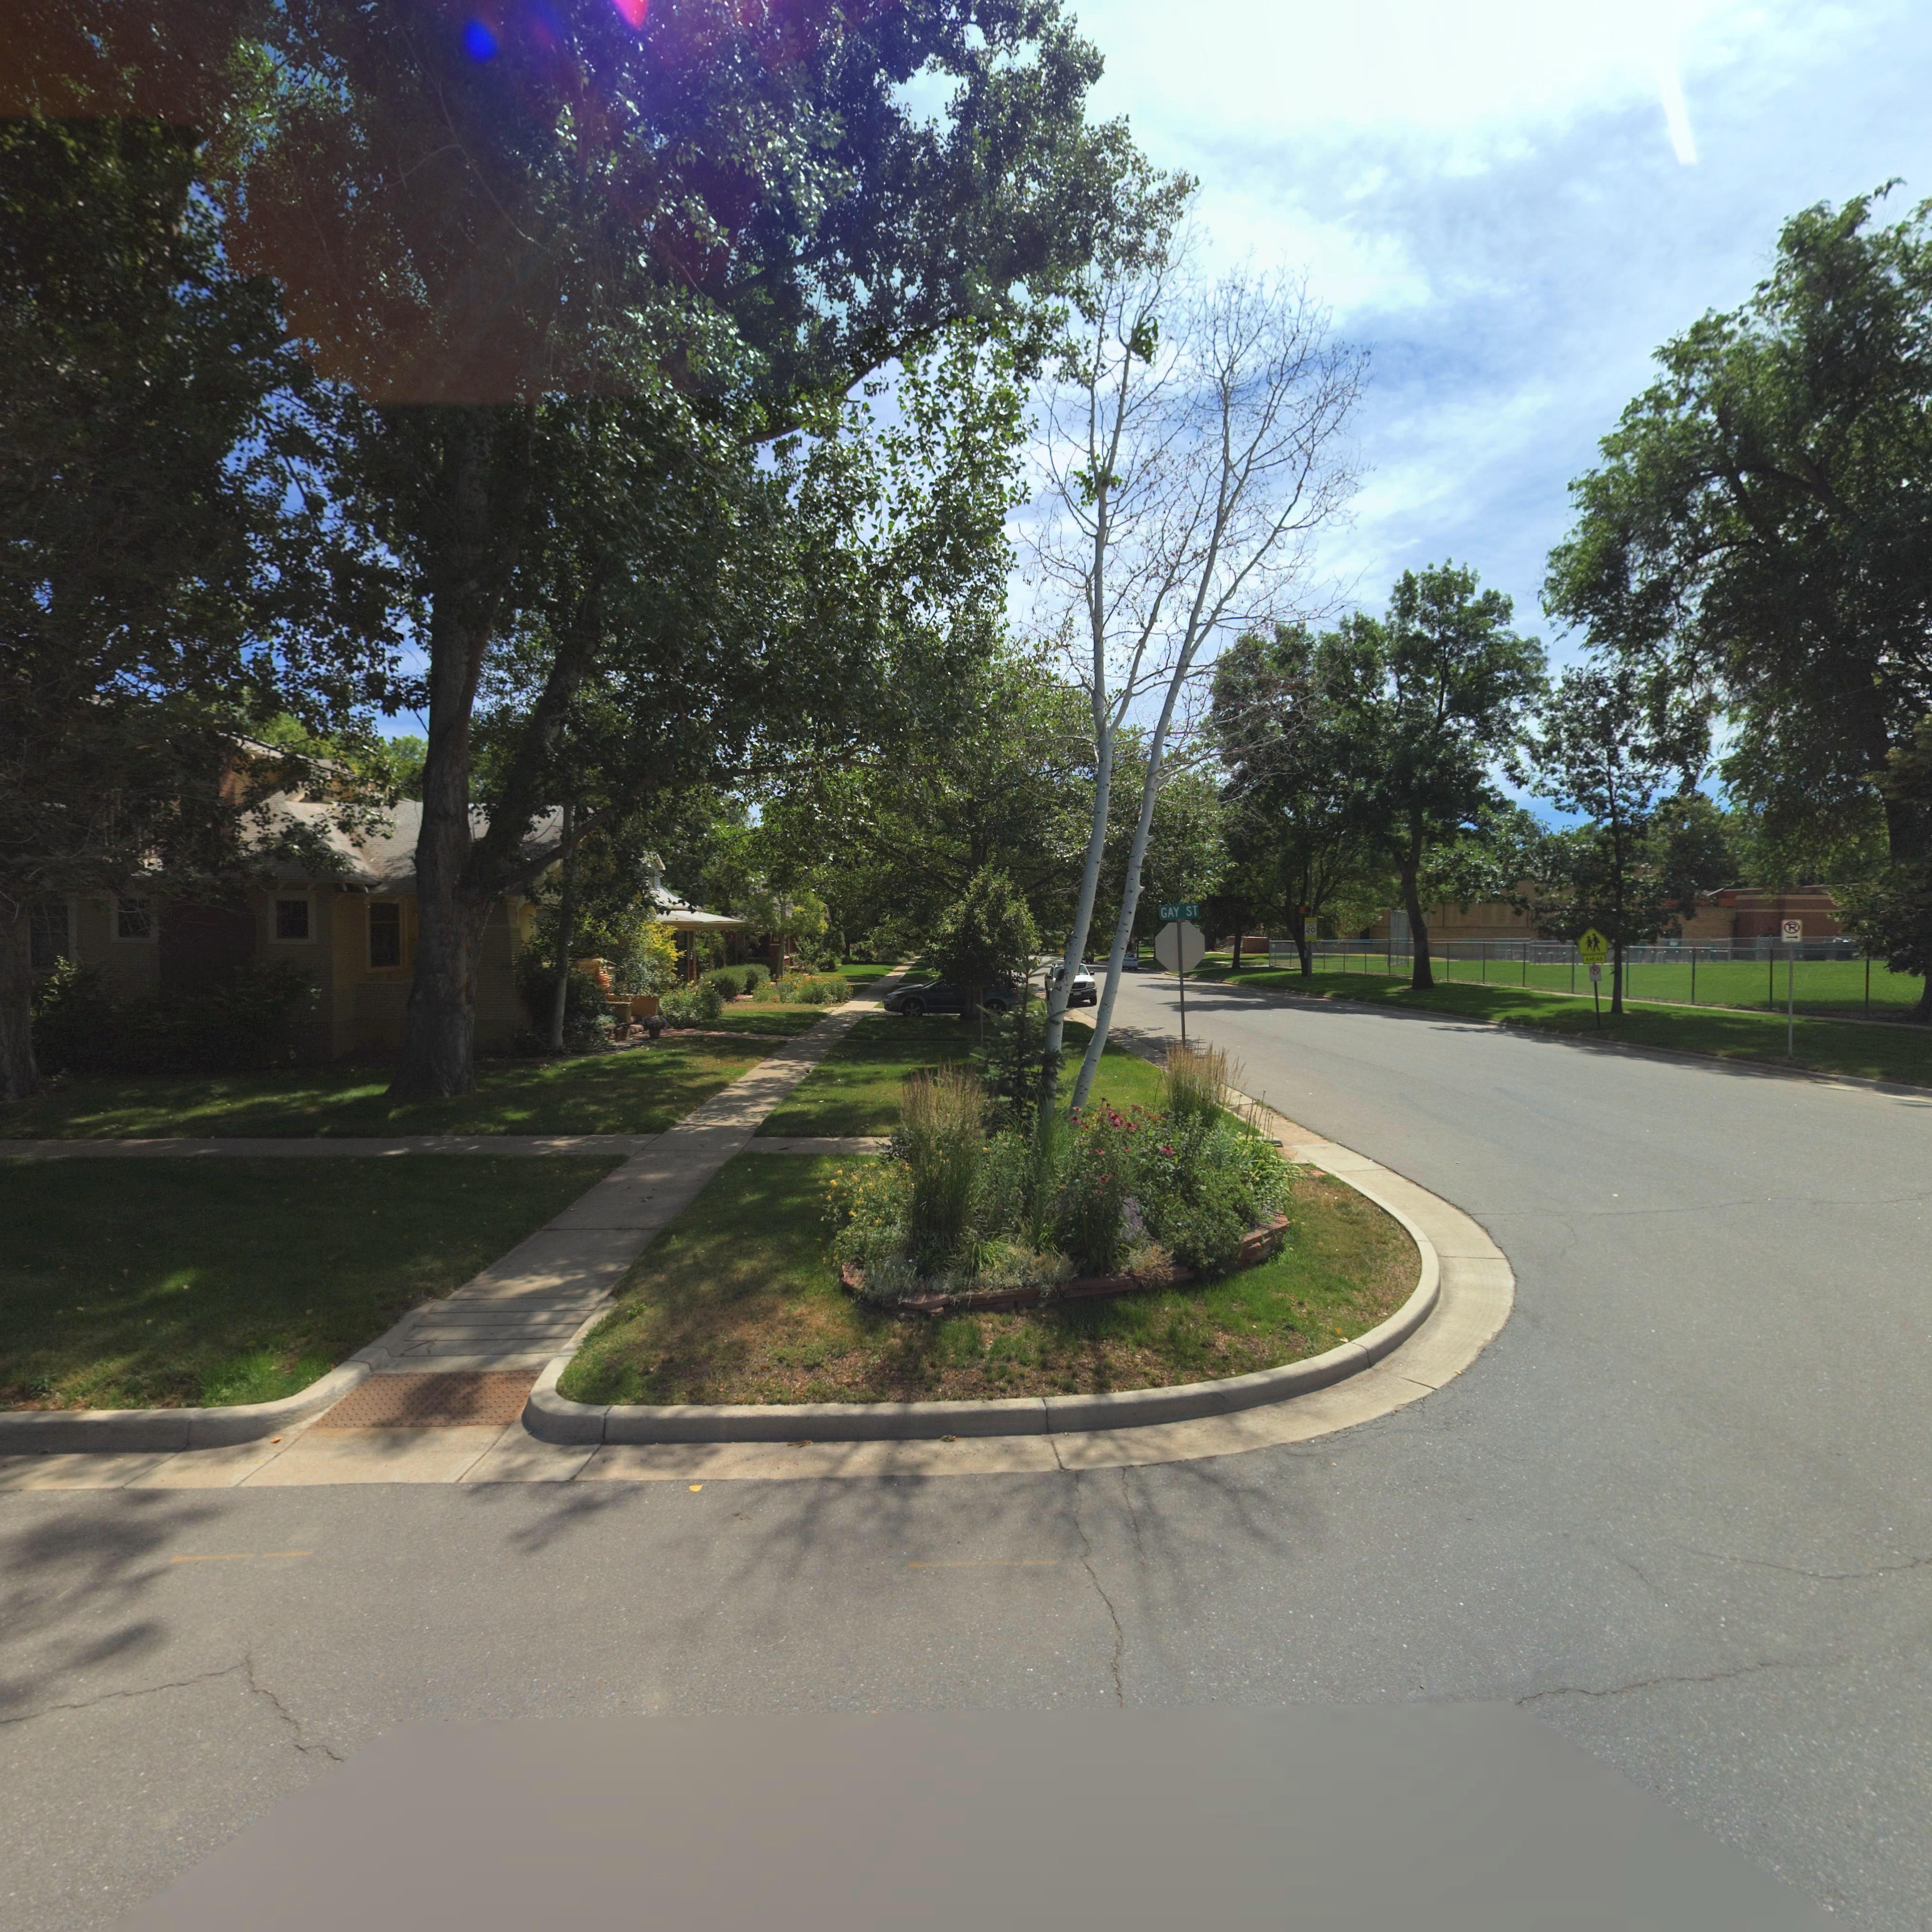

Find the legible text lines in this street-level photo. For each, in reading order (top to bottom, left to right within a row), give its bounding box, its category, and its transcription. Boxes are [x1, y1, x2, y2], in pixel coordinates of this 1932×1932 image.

[1160, 905, 1198, 918] StreetName: GAY ST